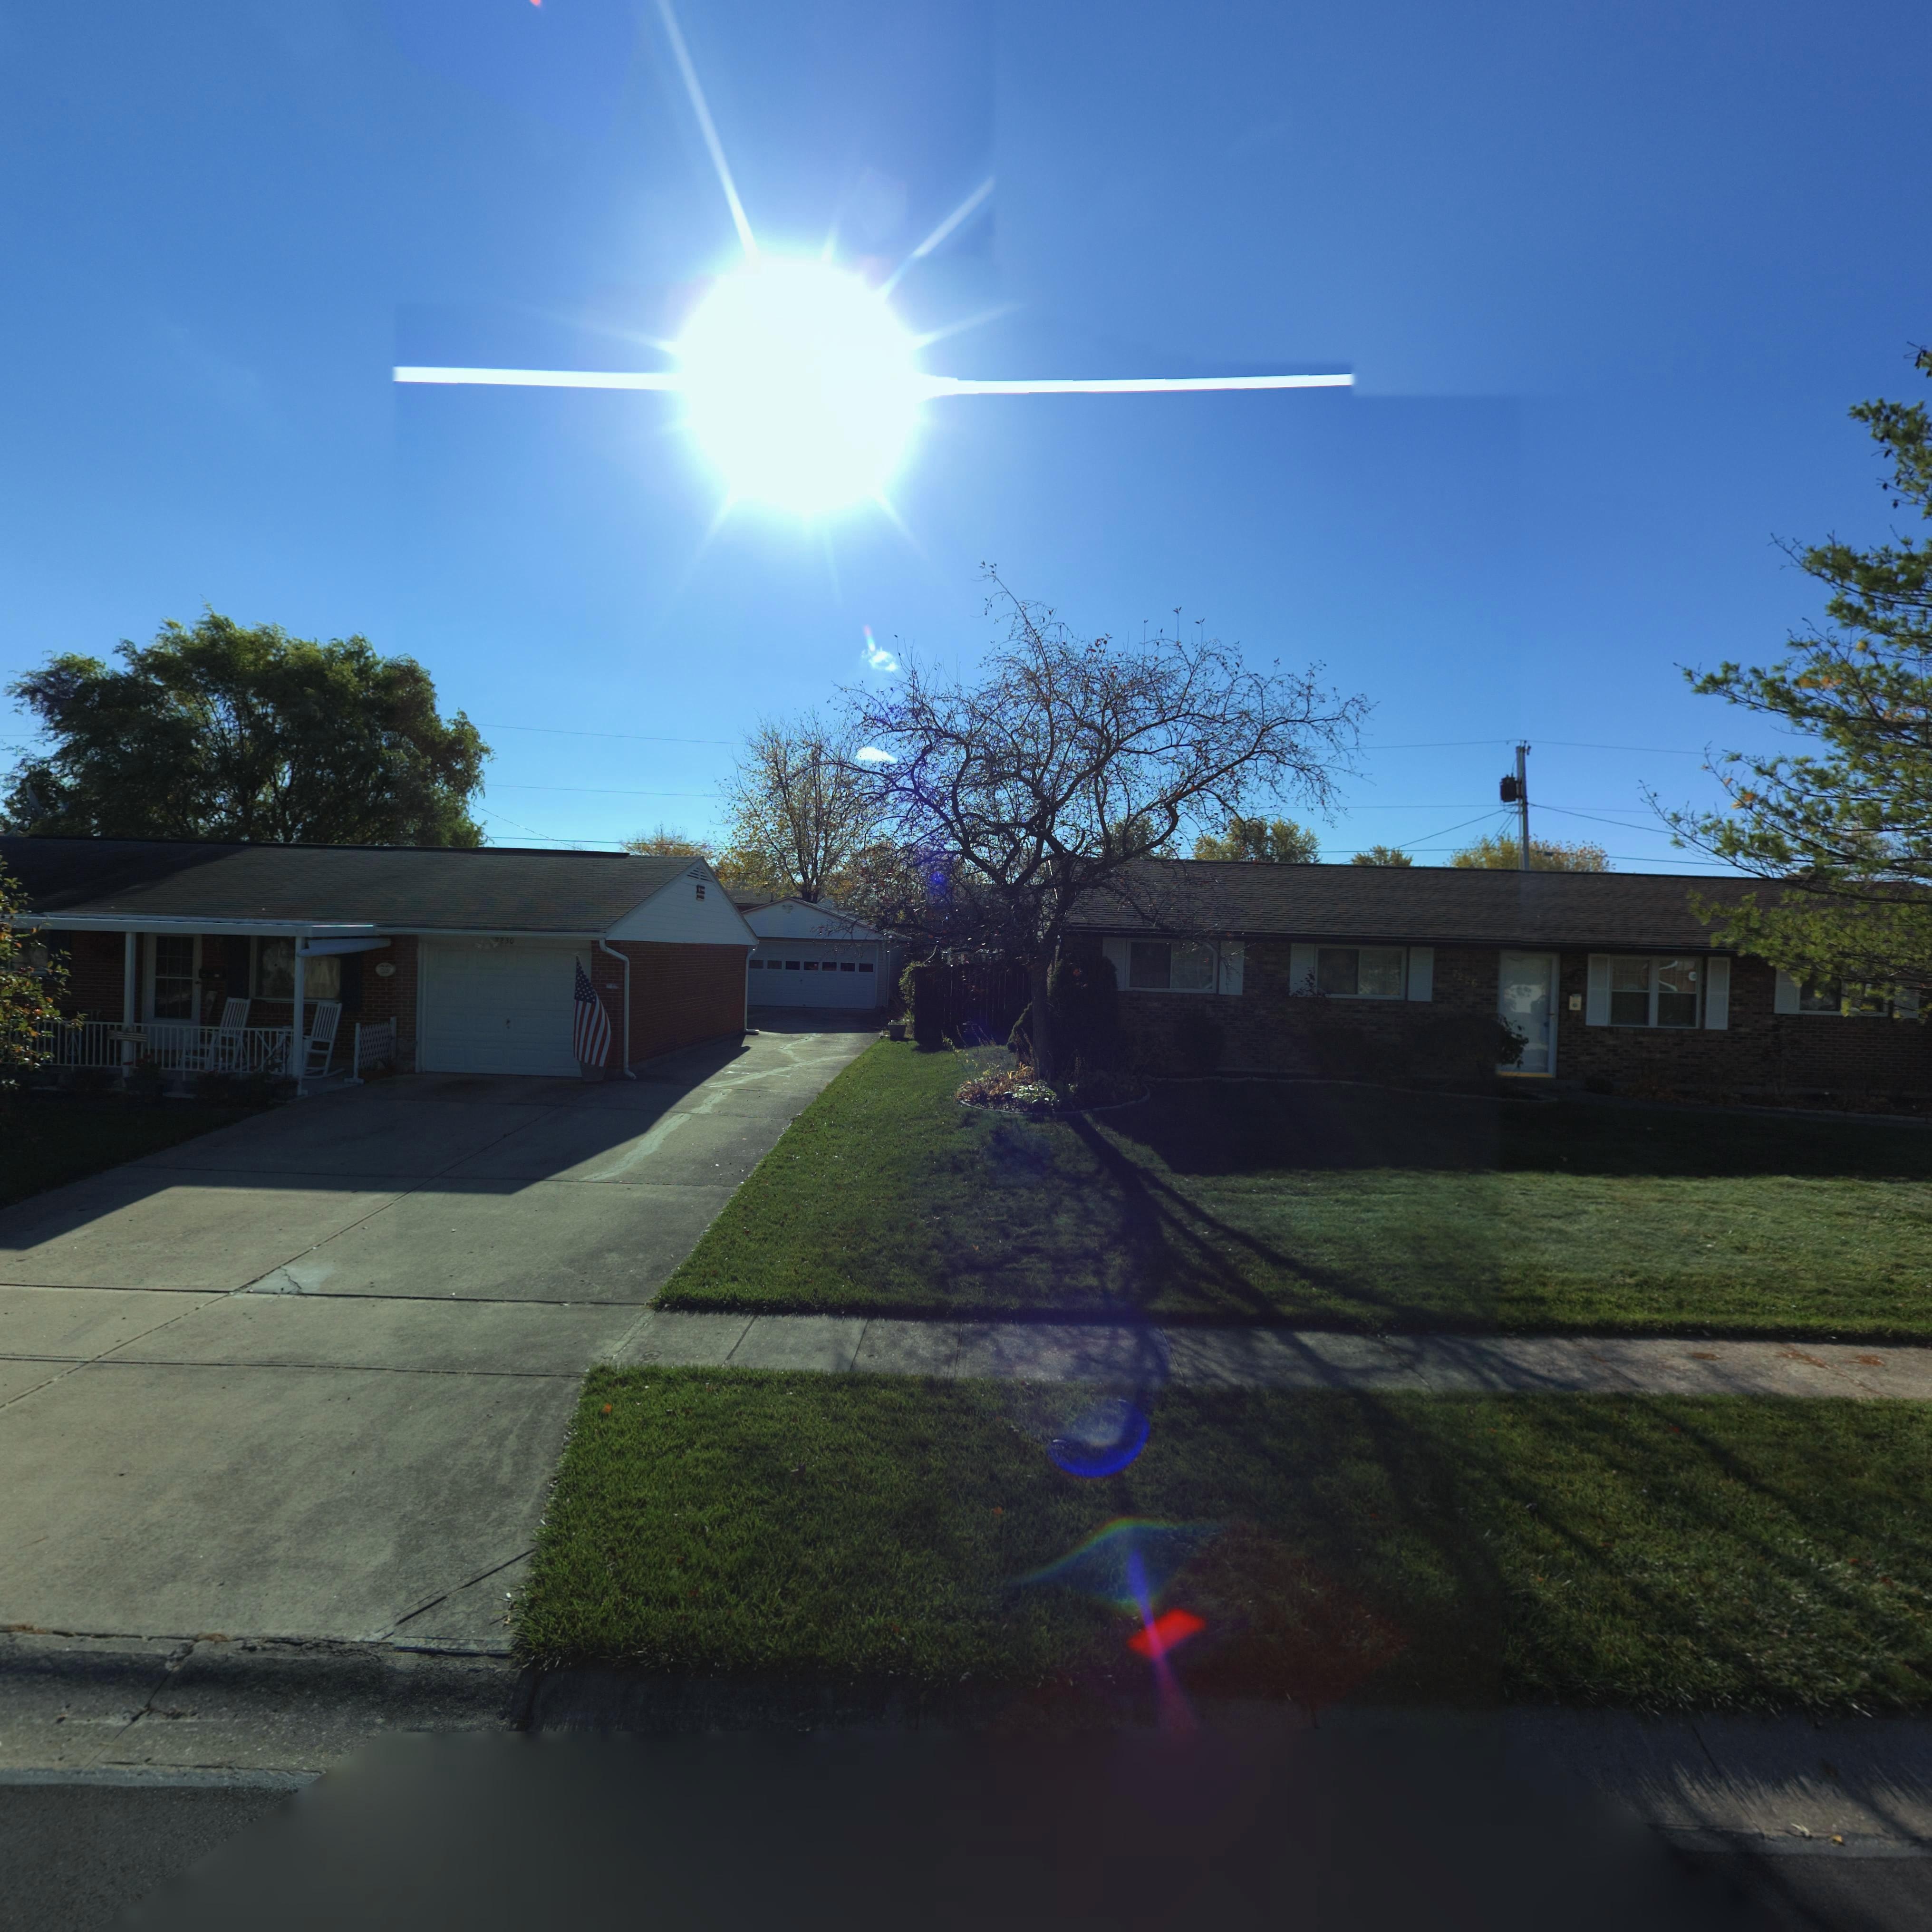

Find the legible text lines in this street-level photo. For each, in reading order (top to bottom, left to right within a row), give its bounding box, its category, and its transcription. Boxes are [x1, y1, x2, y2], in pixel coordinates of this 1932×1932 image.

[494, 937, 515, 945] StreetNumber: *230
[1450, 967, 1479, 989] StreetNumber: 7226